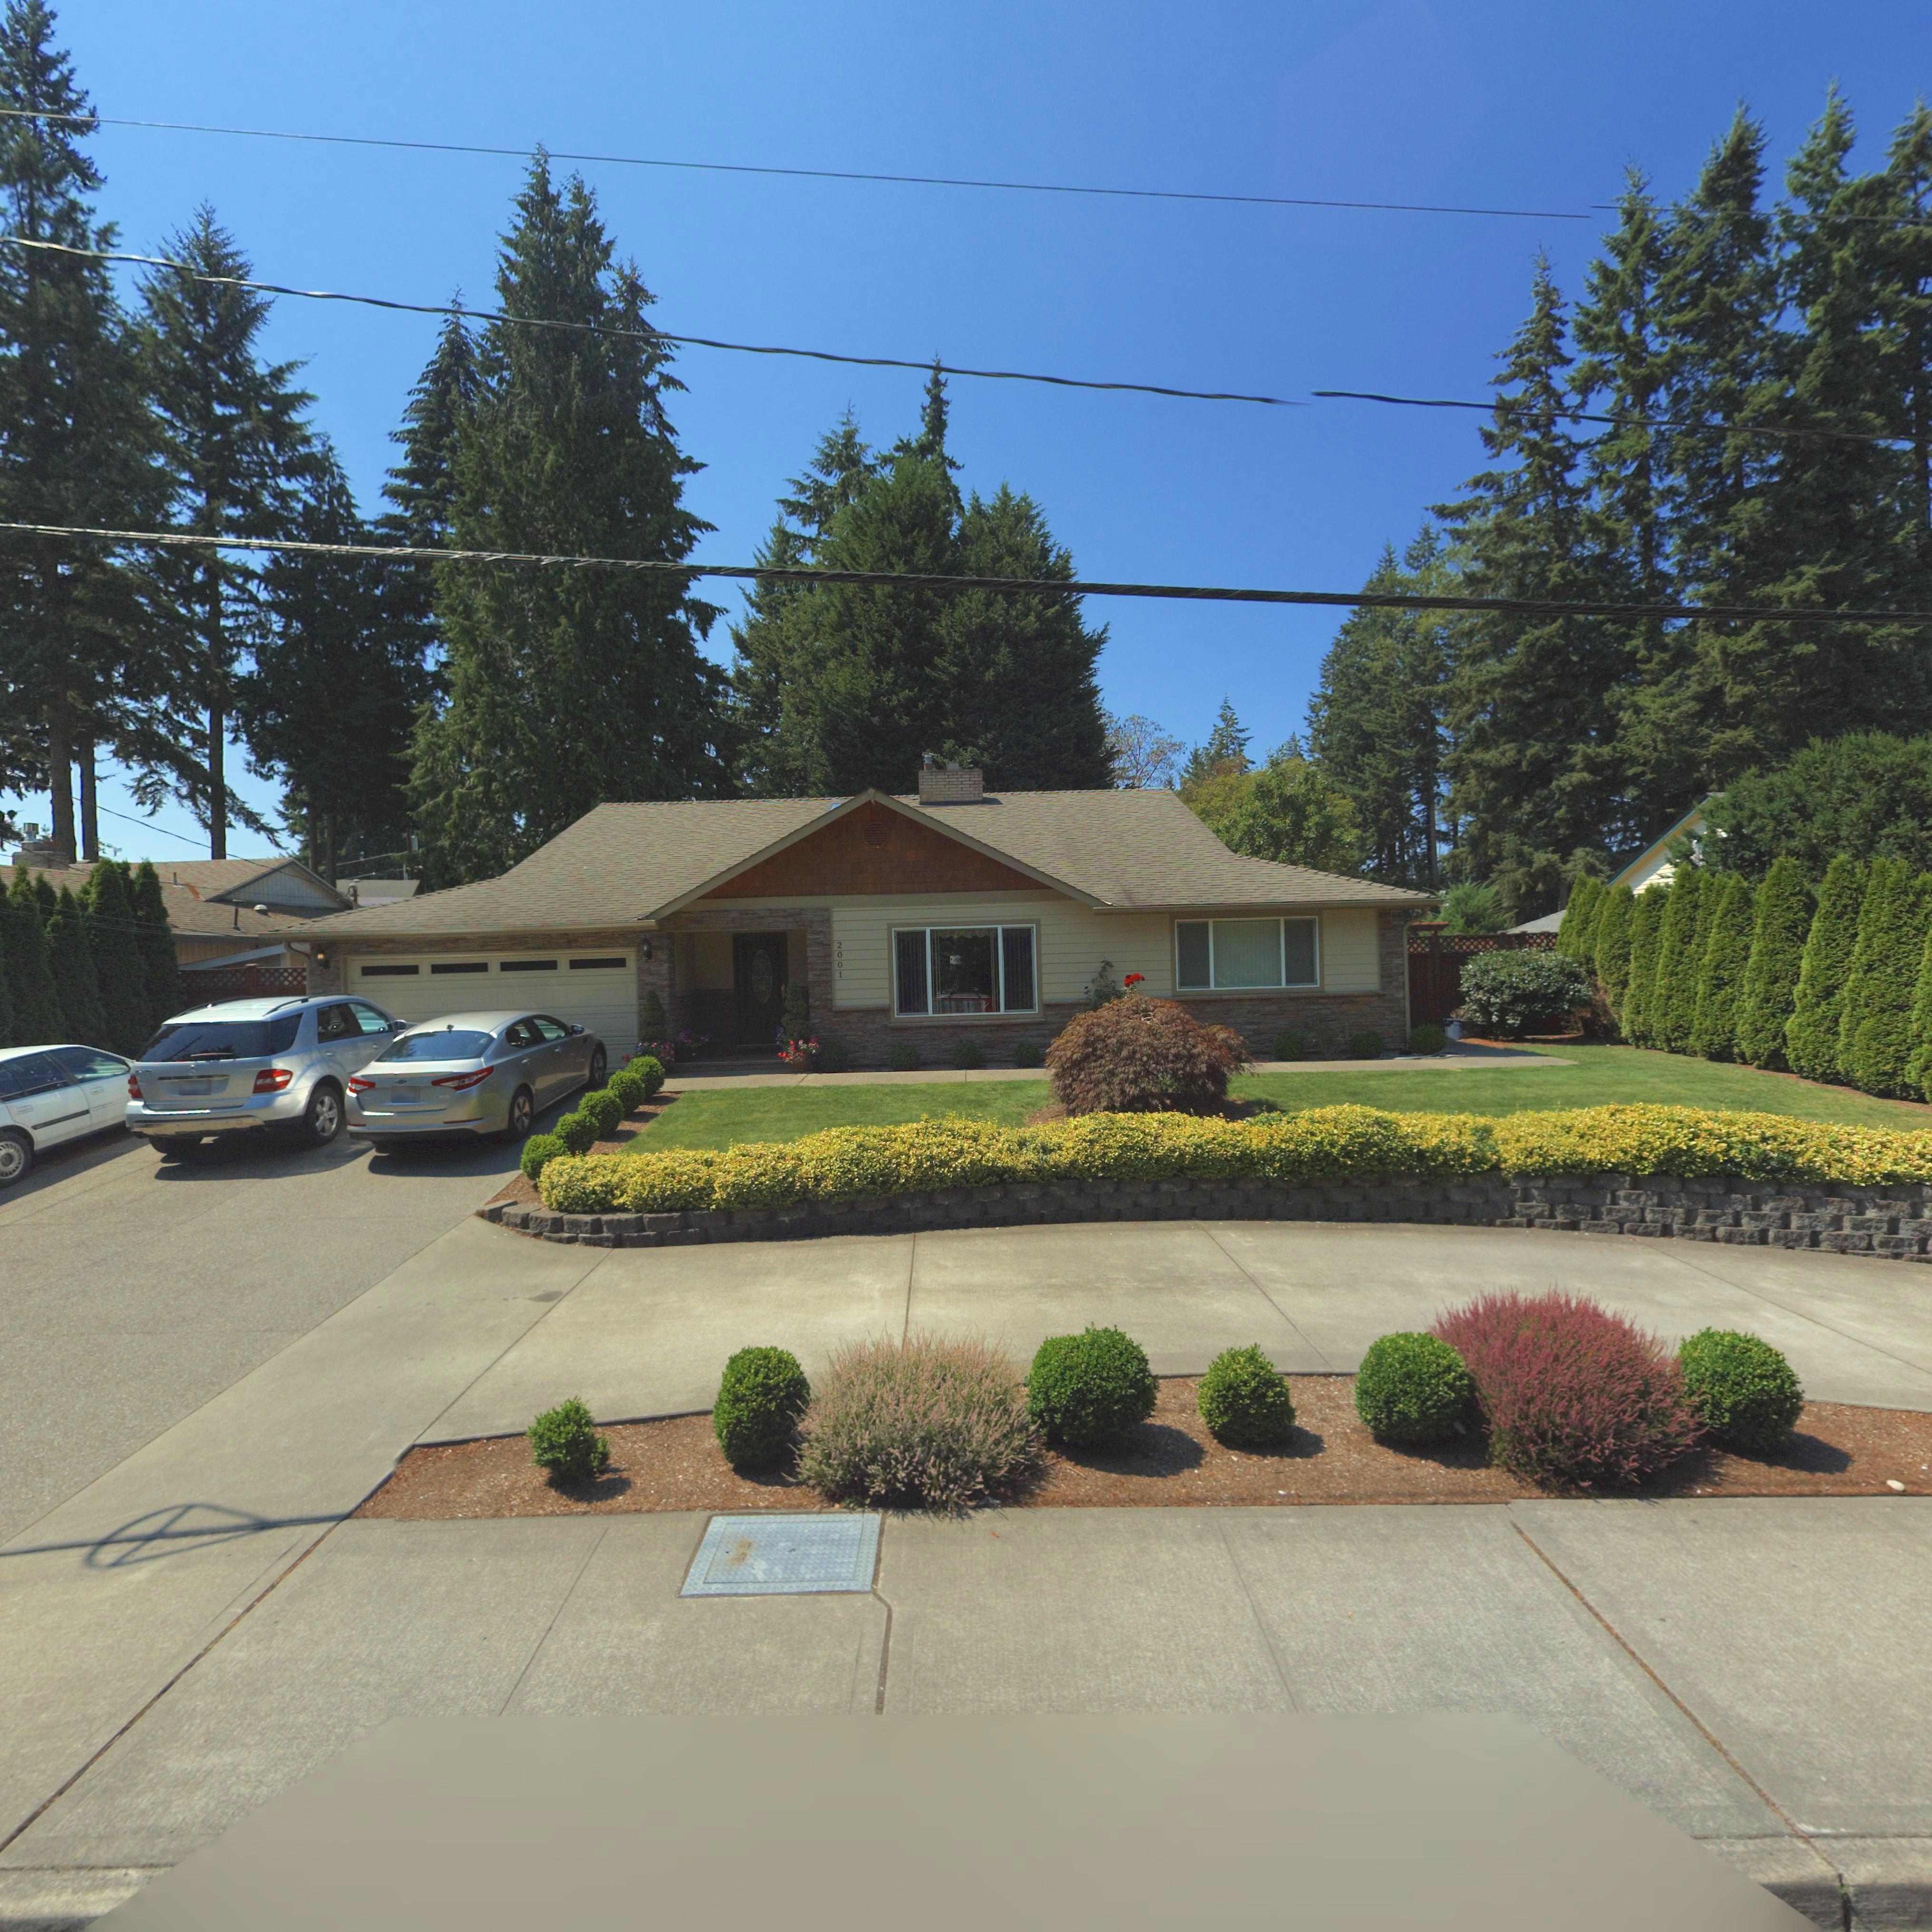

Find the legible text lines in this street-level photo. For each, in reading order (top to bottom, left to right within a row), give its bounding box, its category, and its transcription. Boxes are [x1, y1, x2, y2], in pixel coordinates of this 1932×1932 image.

[837, 942, 842, 978] StreetNumber: 2001